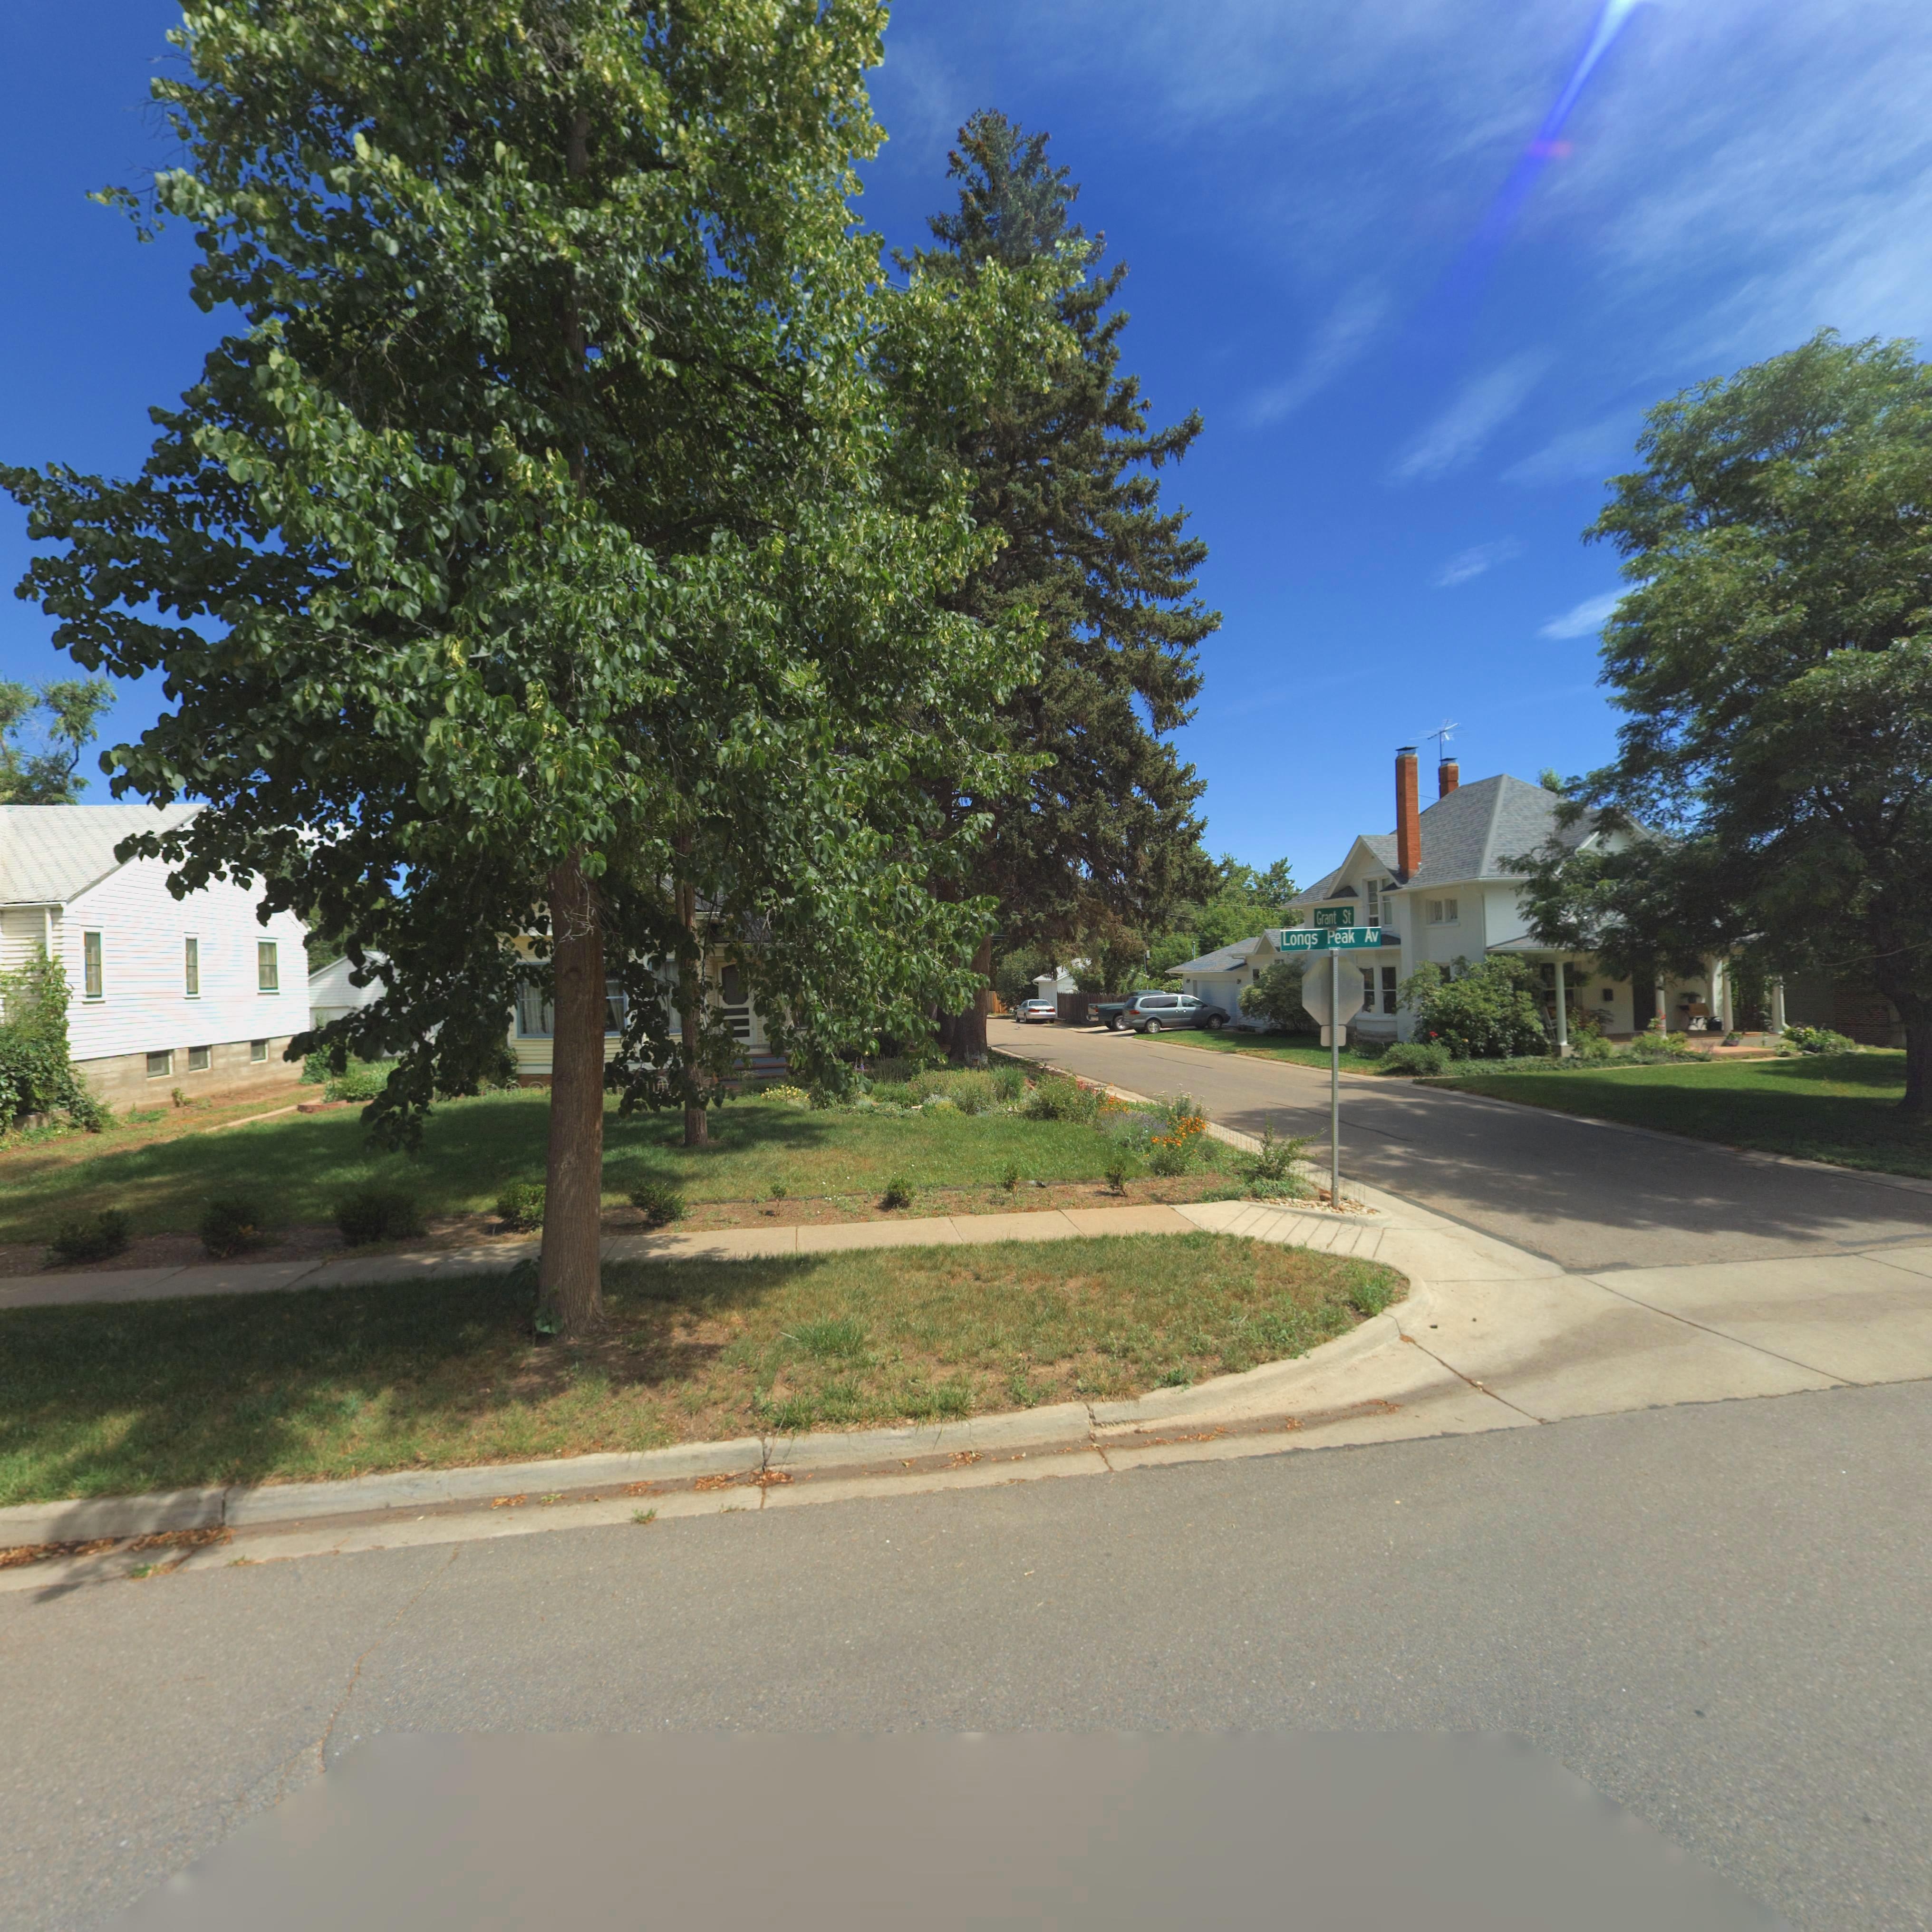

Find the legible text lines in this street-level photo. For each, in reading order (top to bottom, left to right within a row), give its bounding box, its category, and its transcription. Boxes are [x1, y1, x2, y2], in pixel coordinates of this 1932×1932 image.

[1315, 908, 1351, 925] StreetName: Grant St
[1283, 927, 1379, 950] StreetName: Longs Peak Av